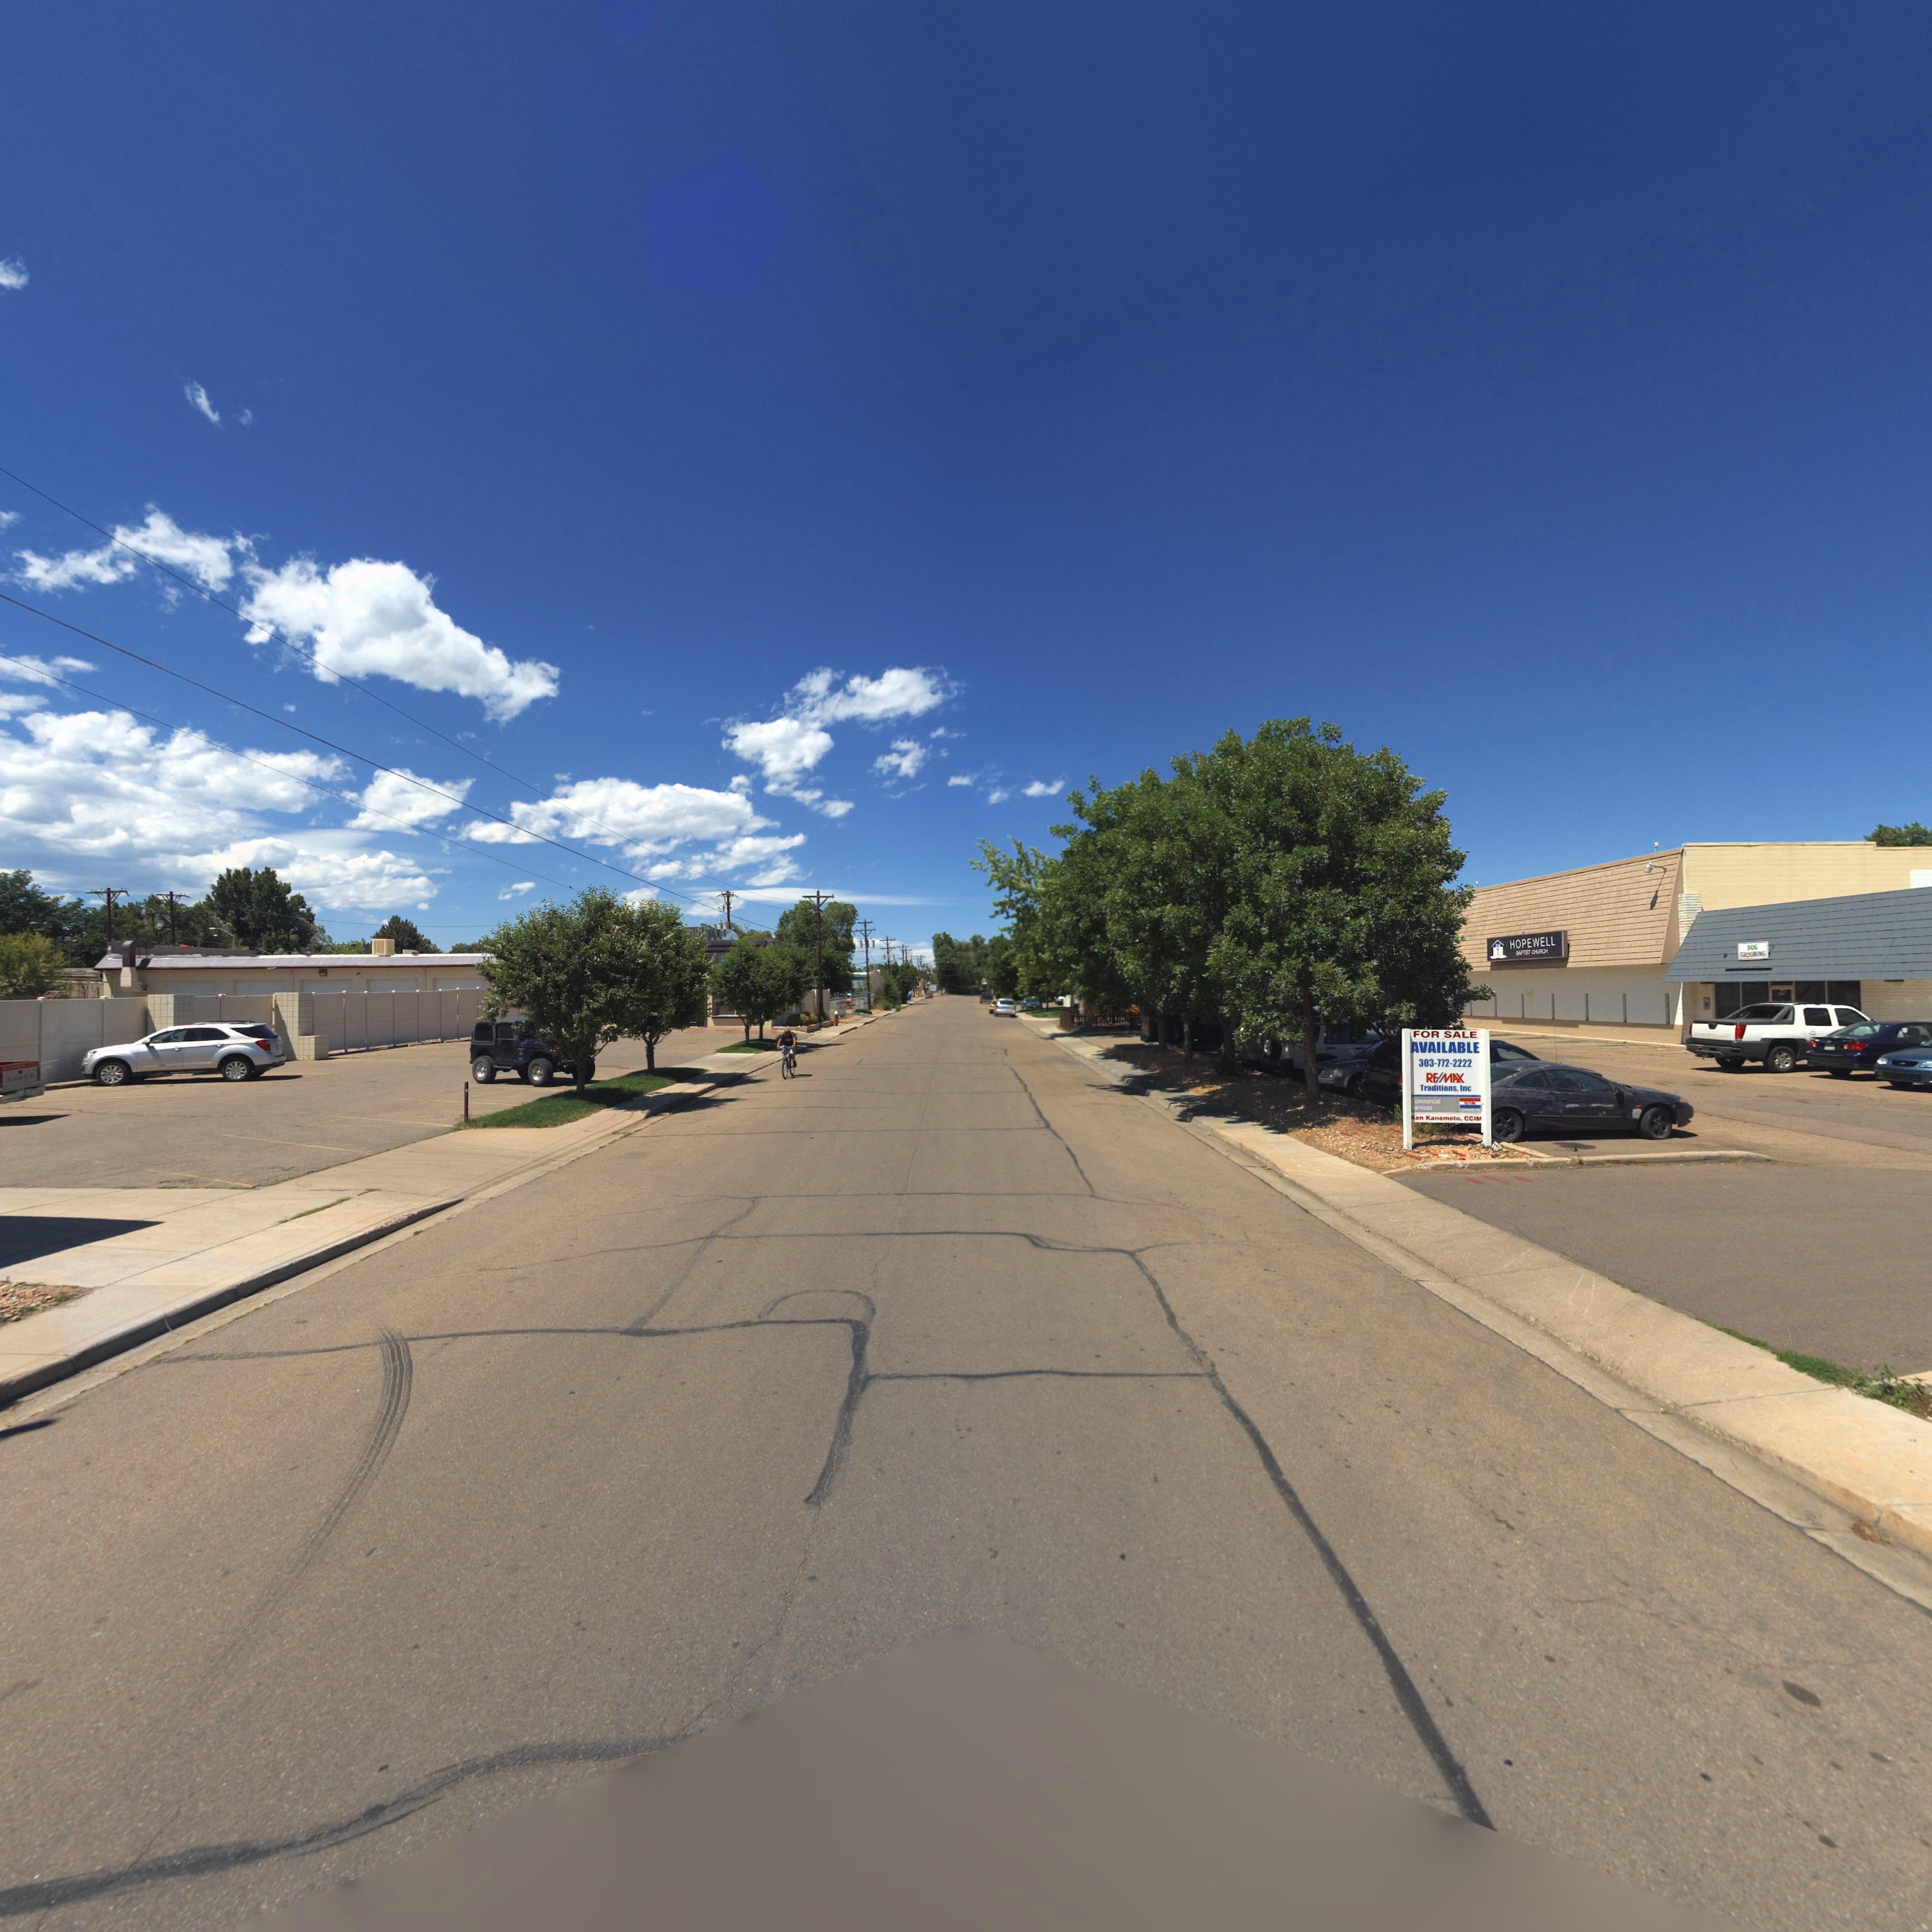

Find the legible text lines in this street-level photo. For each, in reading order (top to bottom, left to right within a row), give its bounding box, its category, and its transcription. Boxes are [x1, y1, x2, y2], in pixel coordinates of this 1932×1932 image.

[1509, 935, 1556, 949] BusinessName: HOPEWELL
[1747, 944, 1758, 950] BusinessName: DOG
[1515, 948, 1548, 956] BusinessName: BAP**ST CH***H
[1740, 950, 1766, 958] BusinessName: G*OO***G